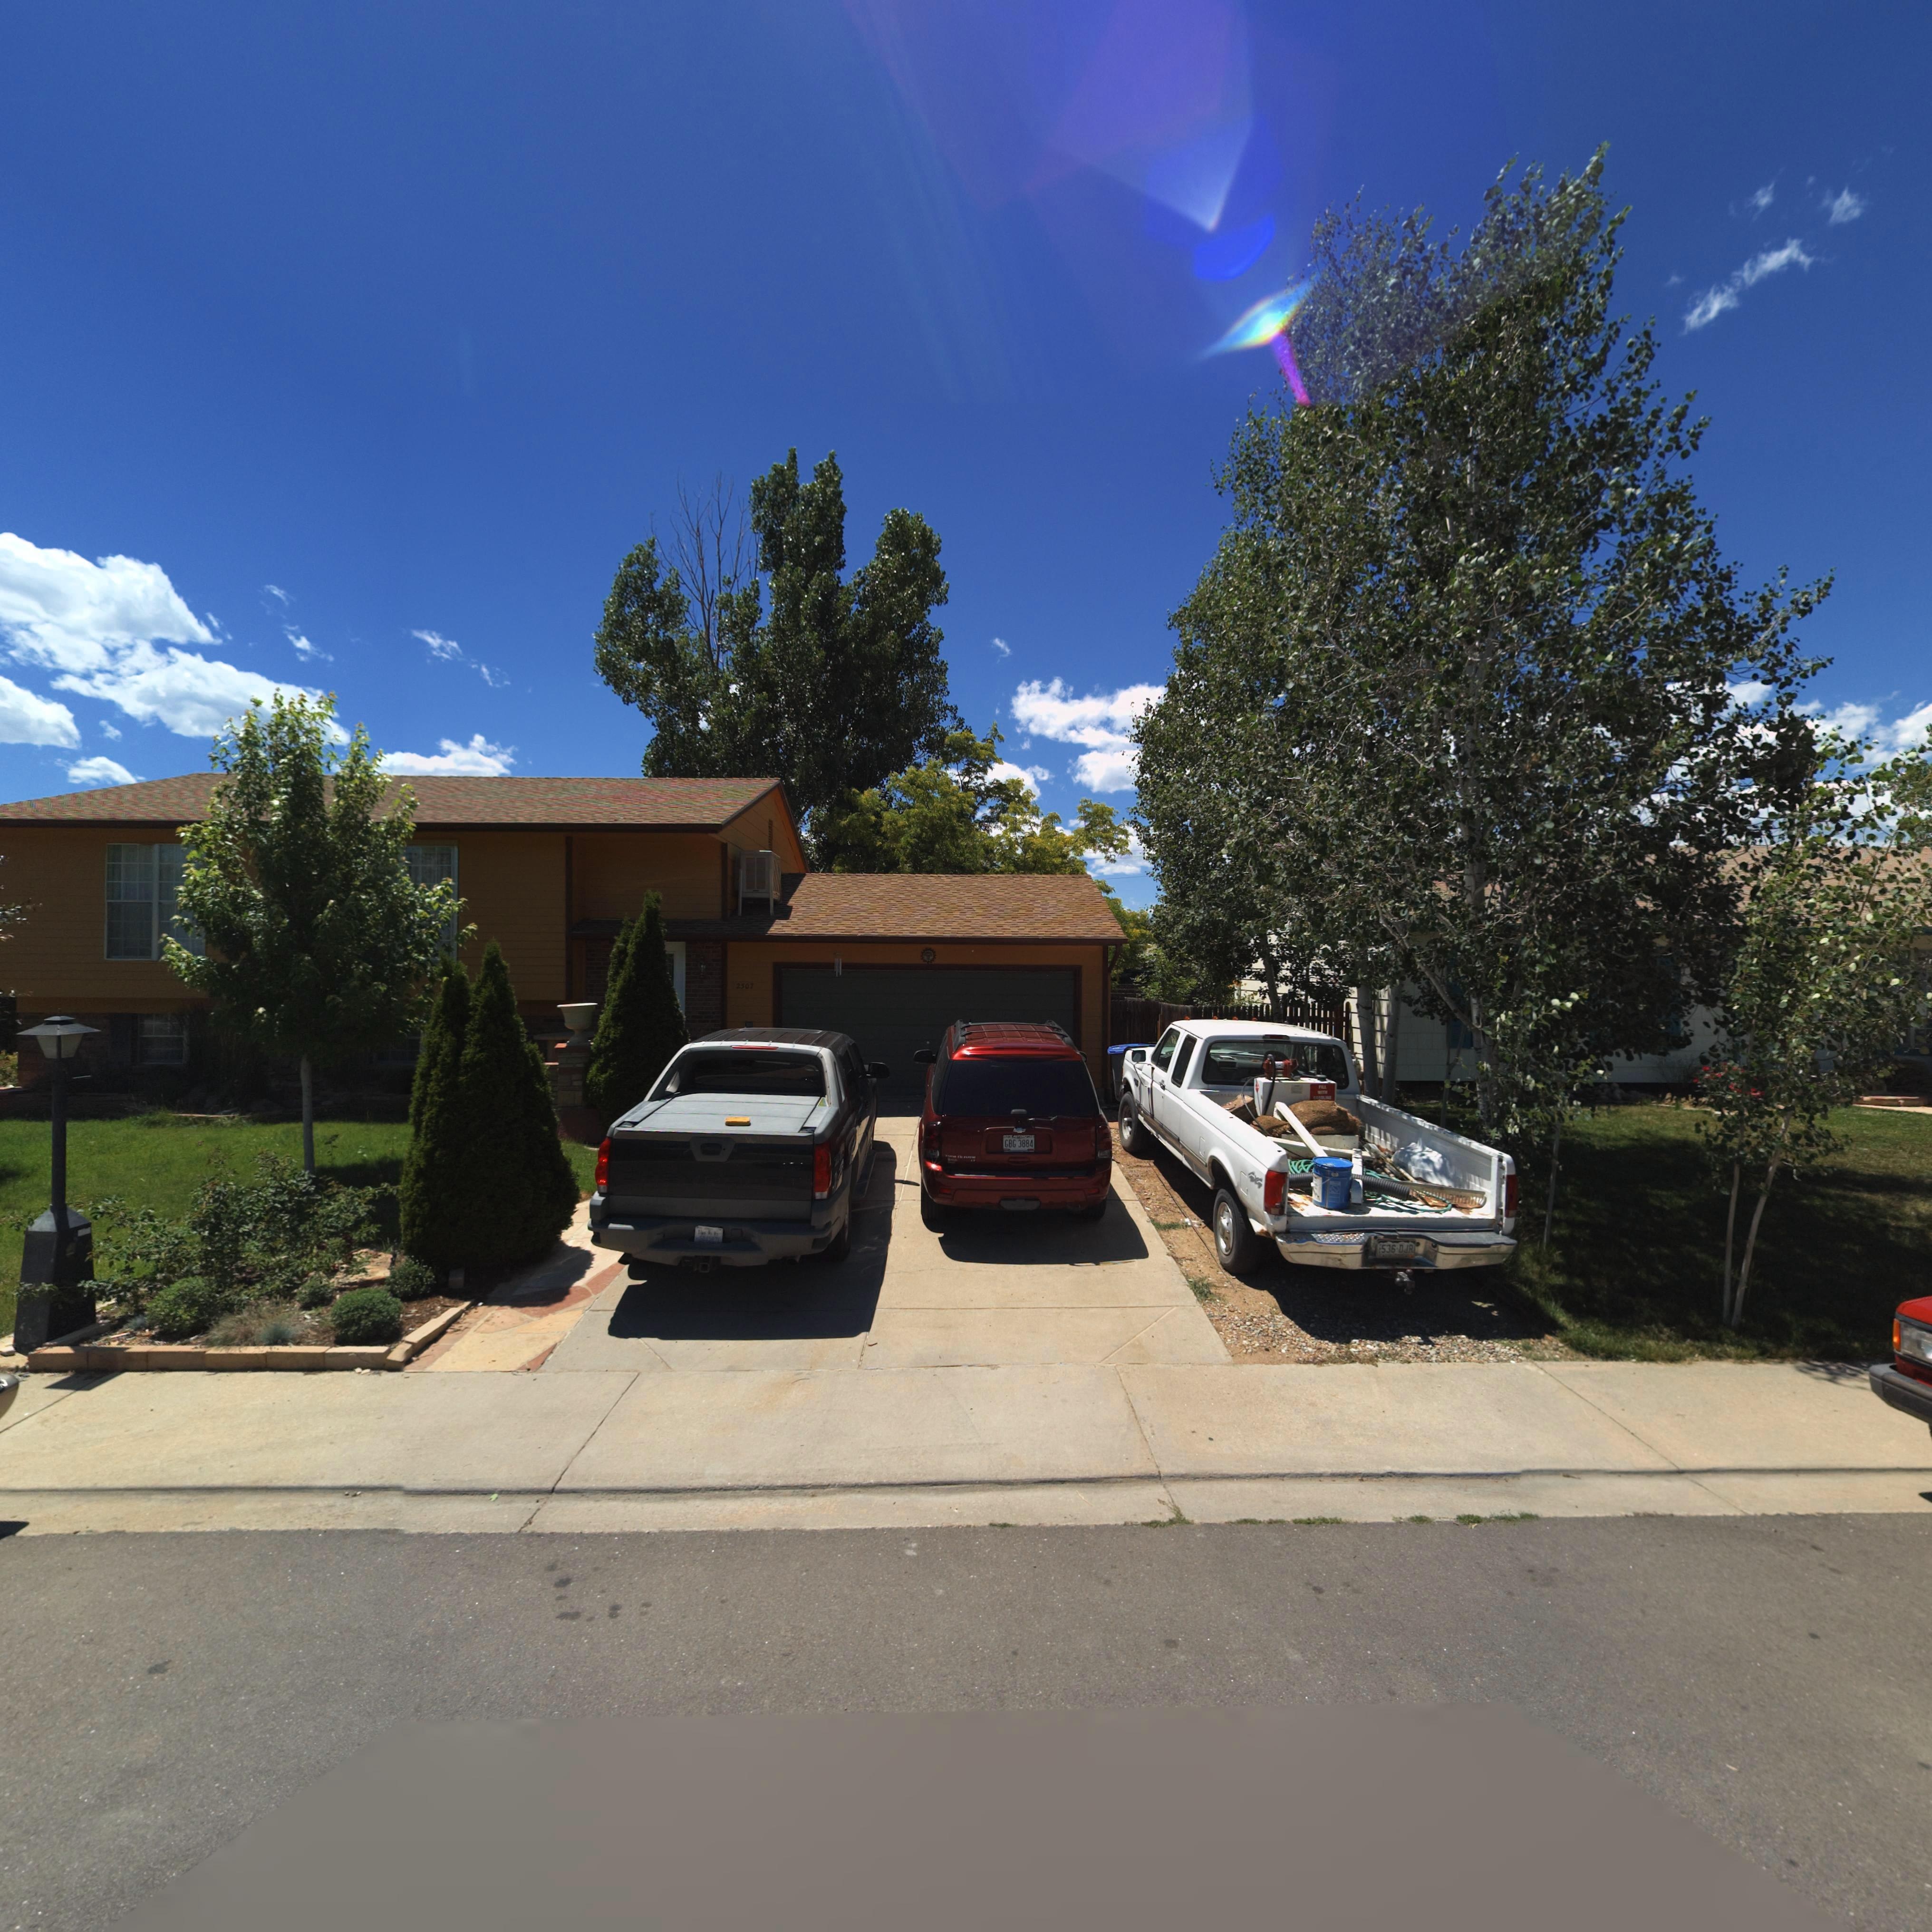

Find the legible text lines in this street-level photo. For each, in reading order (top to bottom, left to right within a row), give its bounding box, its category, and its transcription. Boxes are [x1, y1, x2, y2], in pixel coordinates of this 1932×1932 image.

[735, 983, 754, 989] StreetNumber: 2507